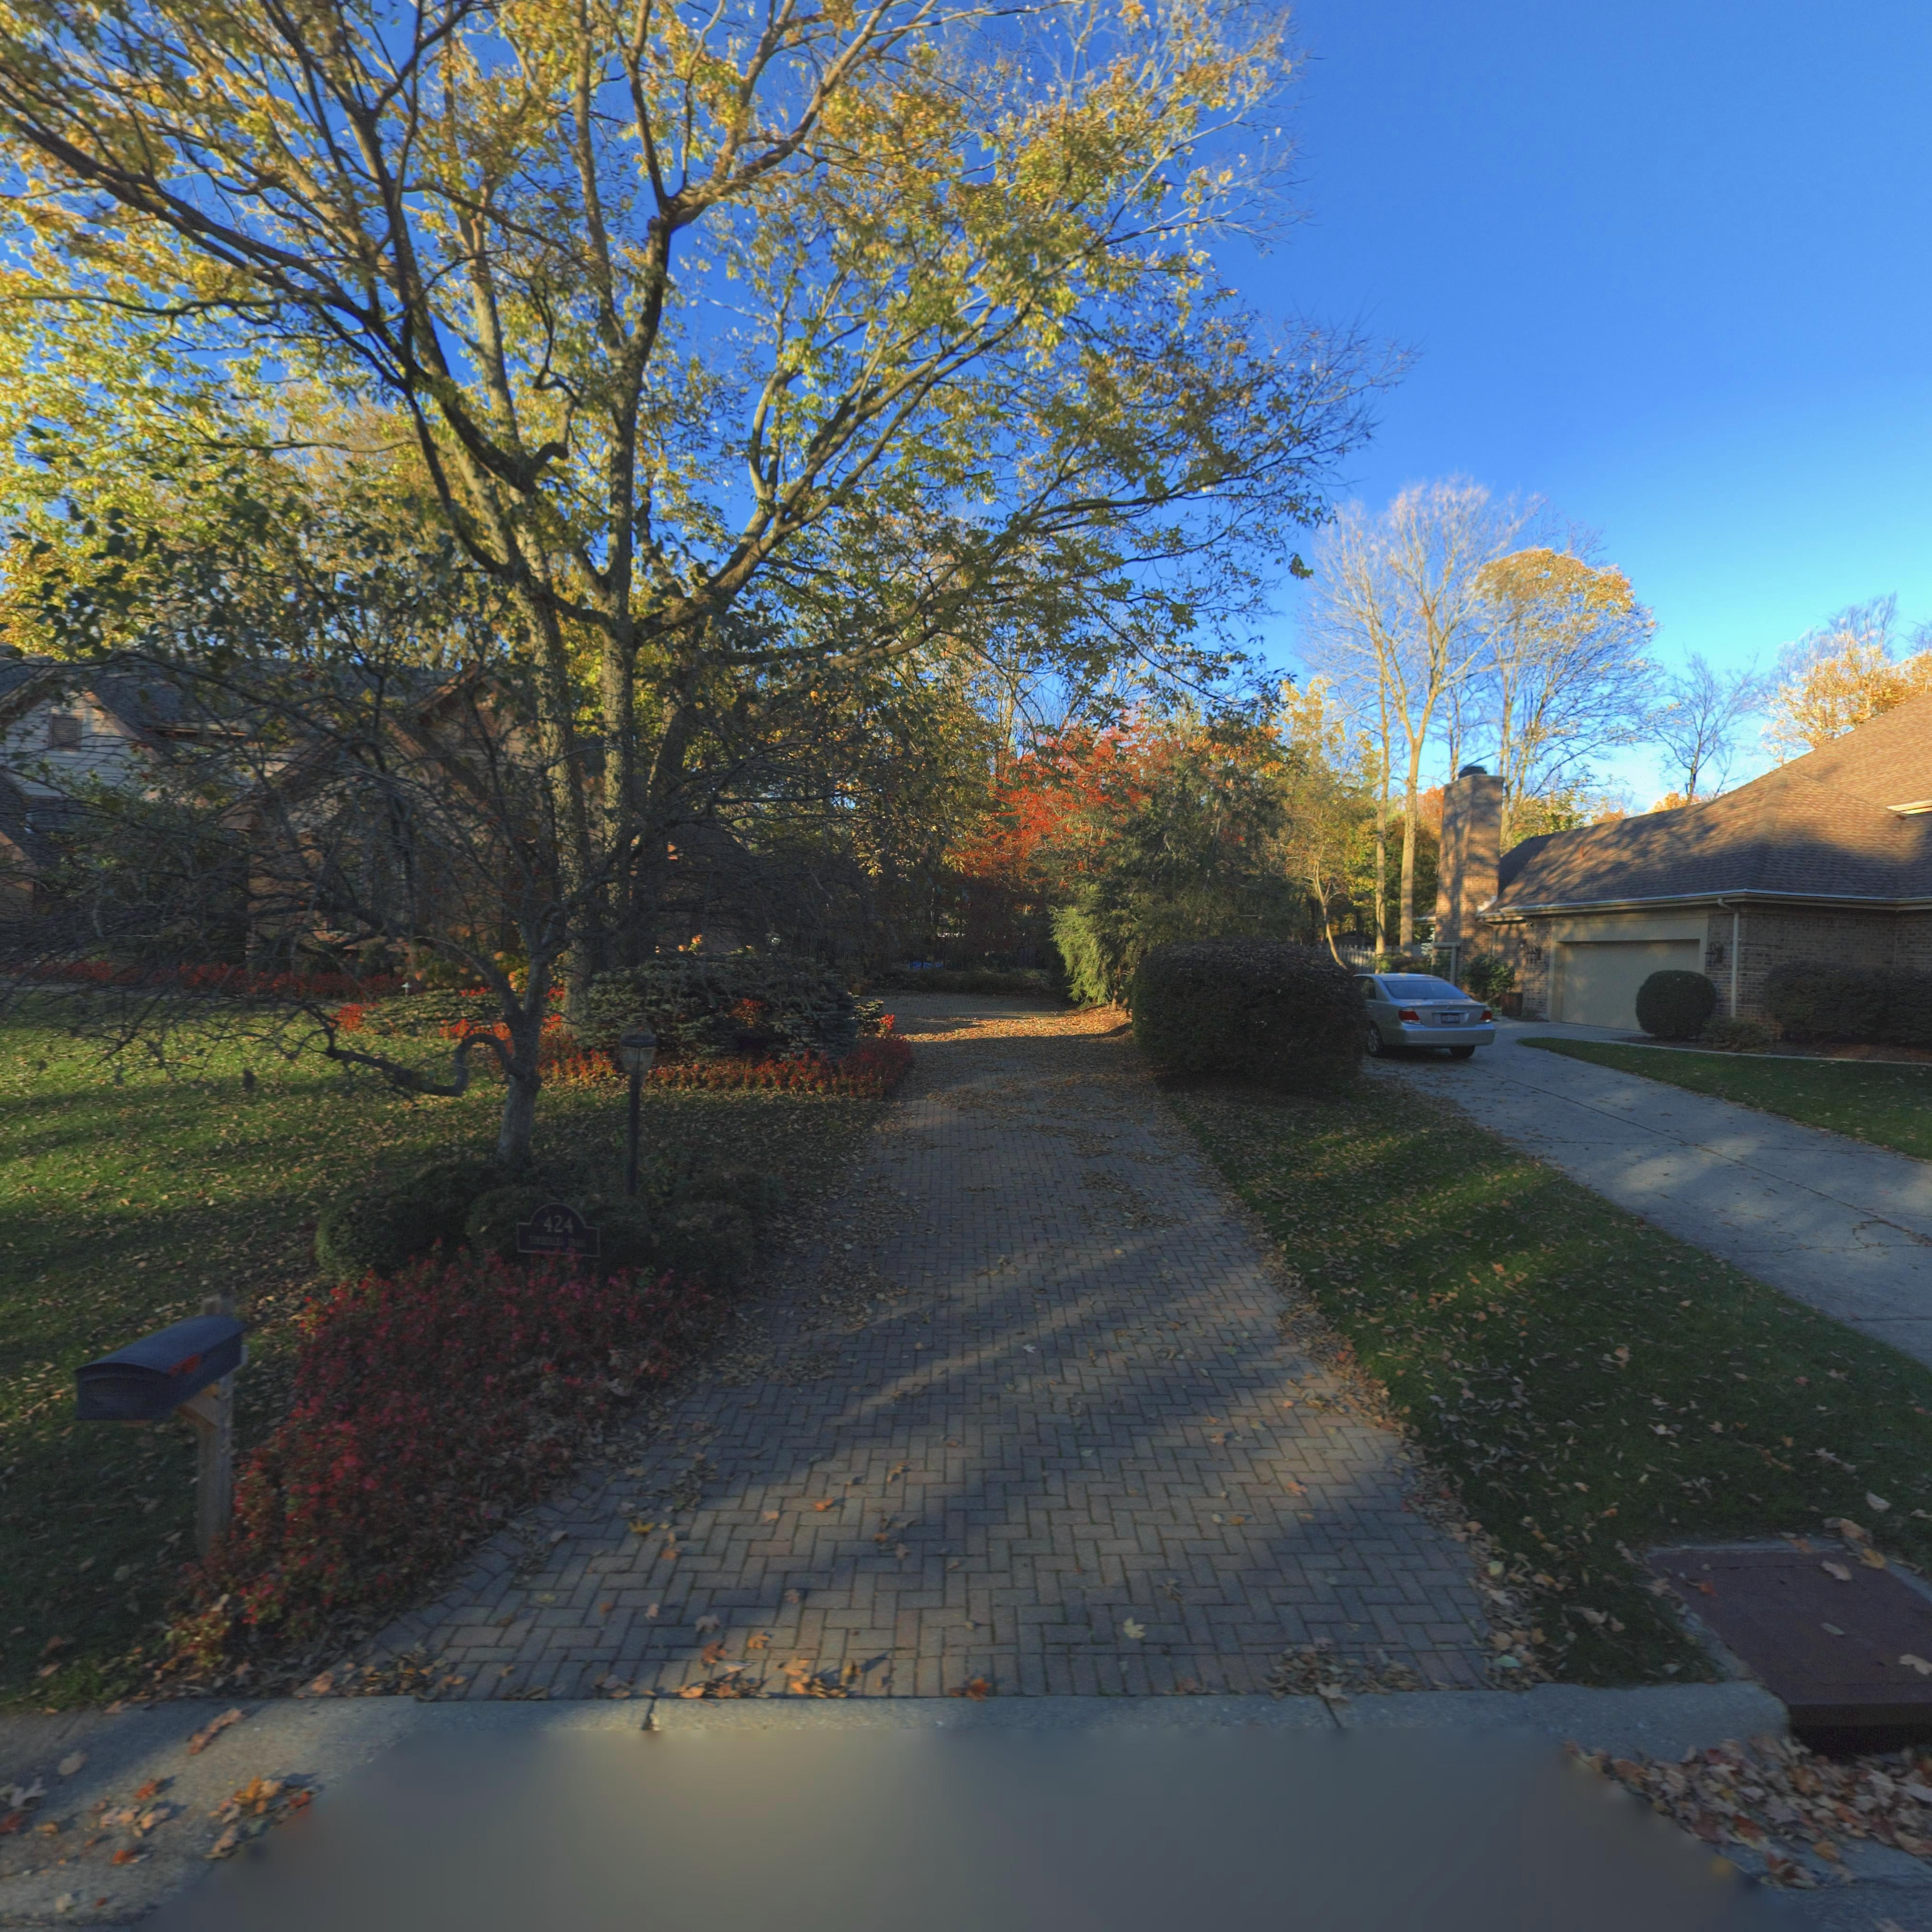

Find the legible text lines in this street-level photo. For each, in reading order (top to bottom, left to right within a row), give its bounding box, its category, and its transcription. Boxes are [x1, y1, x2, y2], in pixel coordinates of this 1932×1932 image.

[541, 1214, 575, 1234] StreetNumber: 424